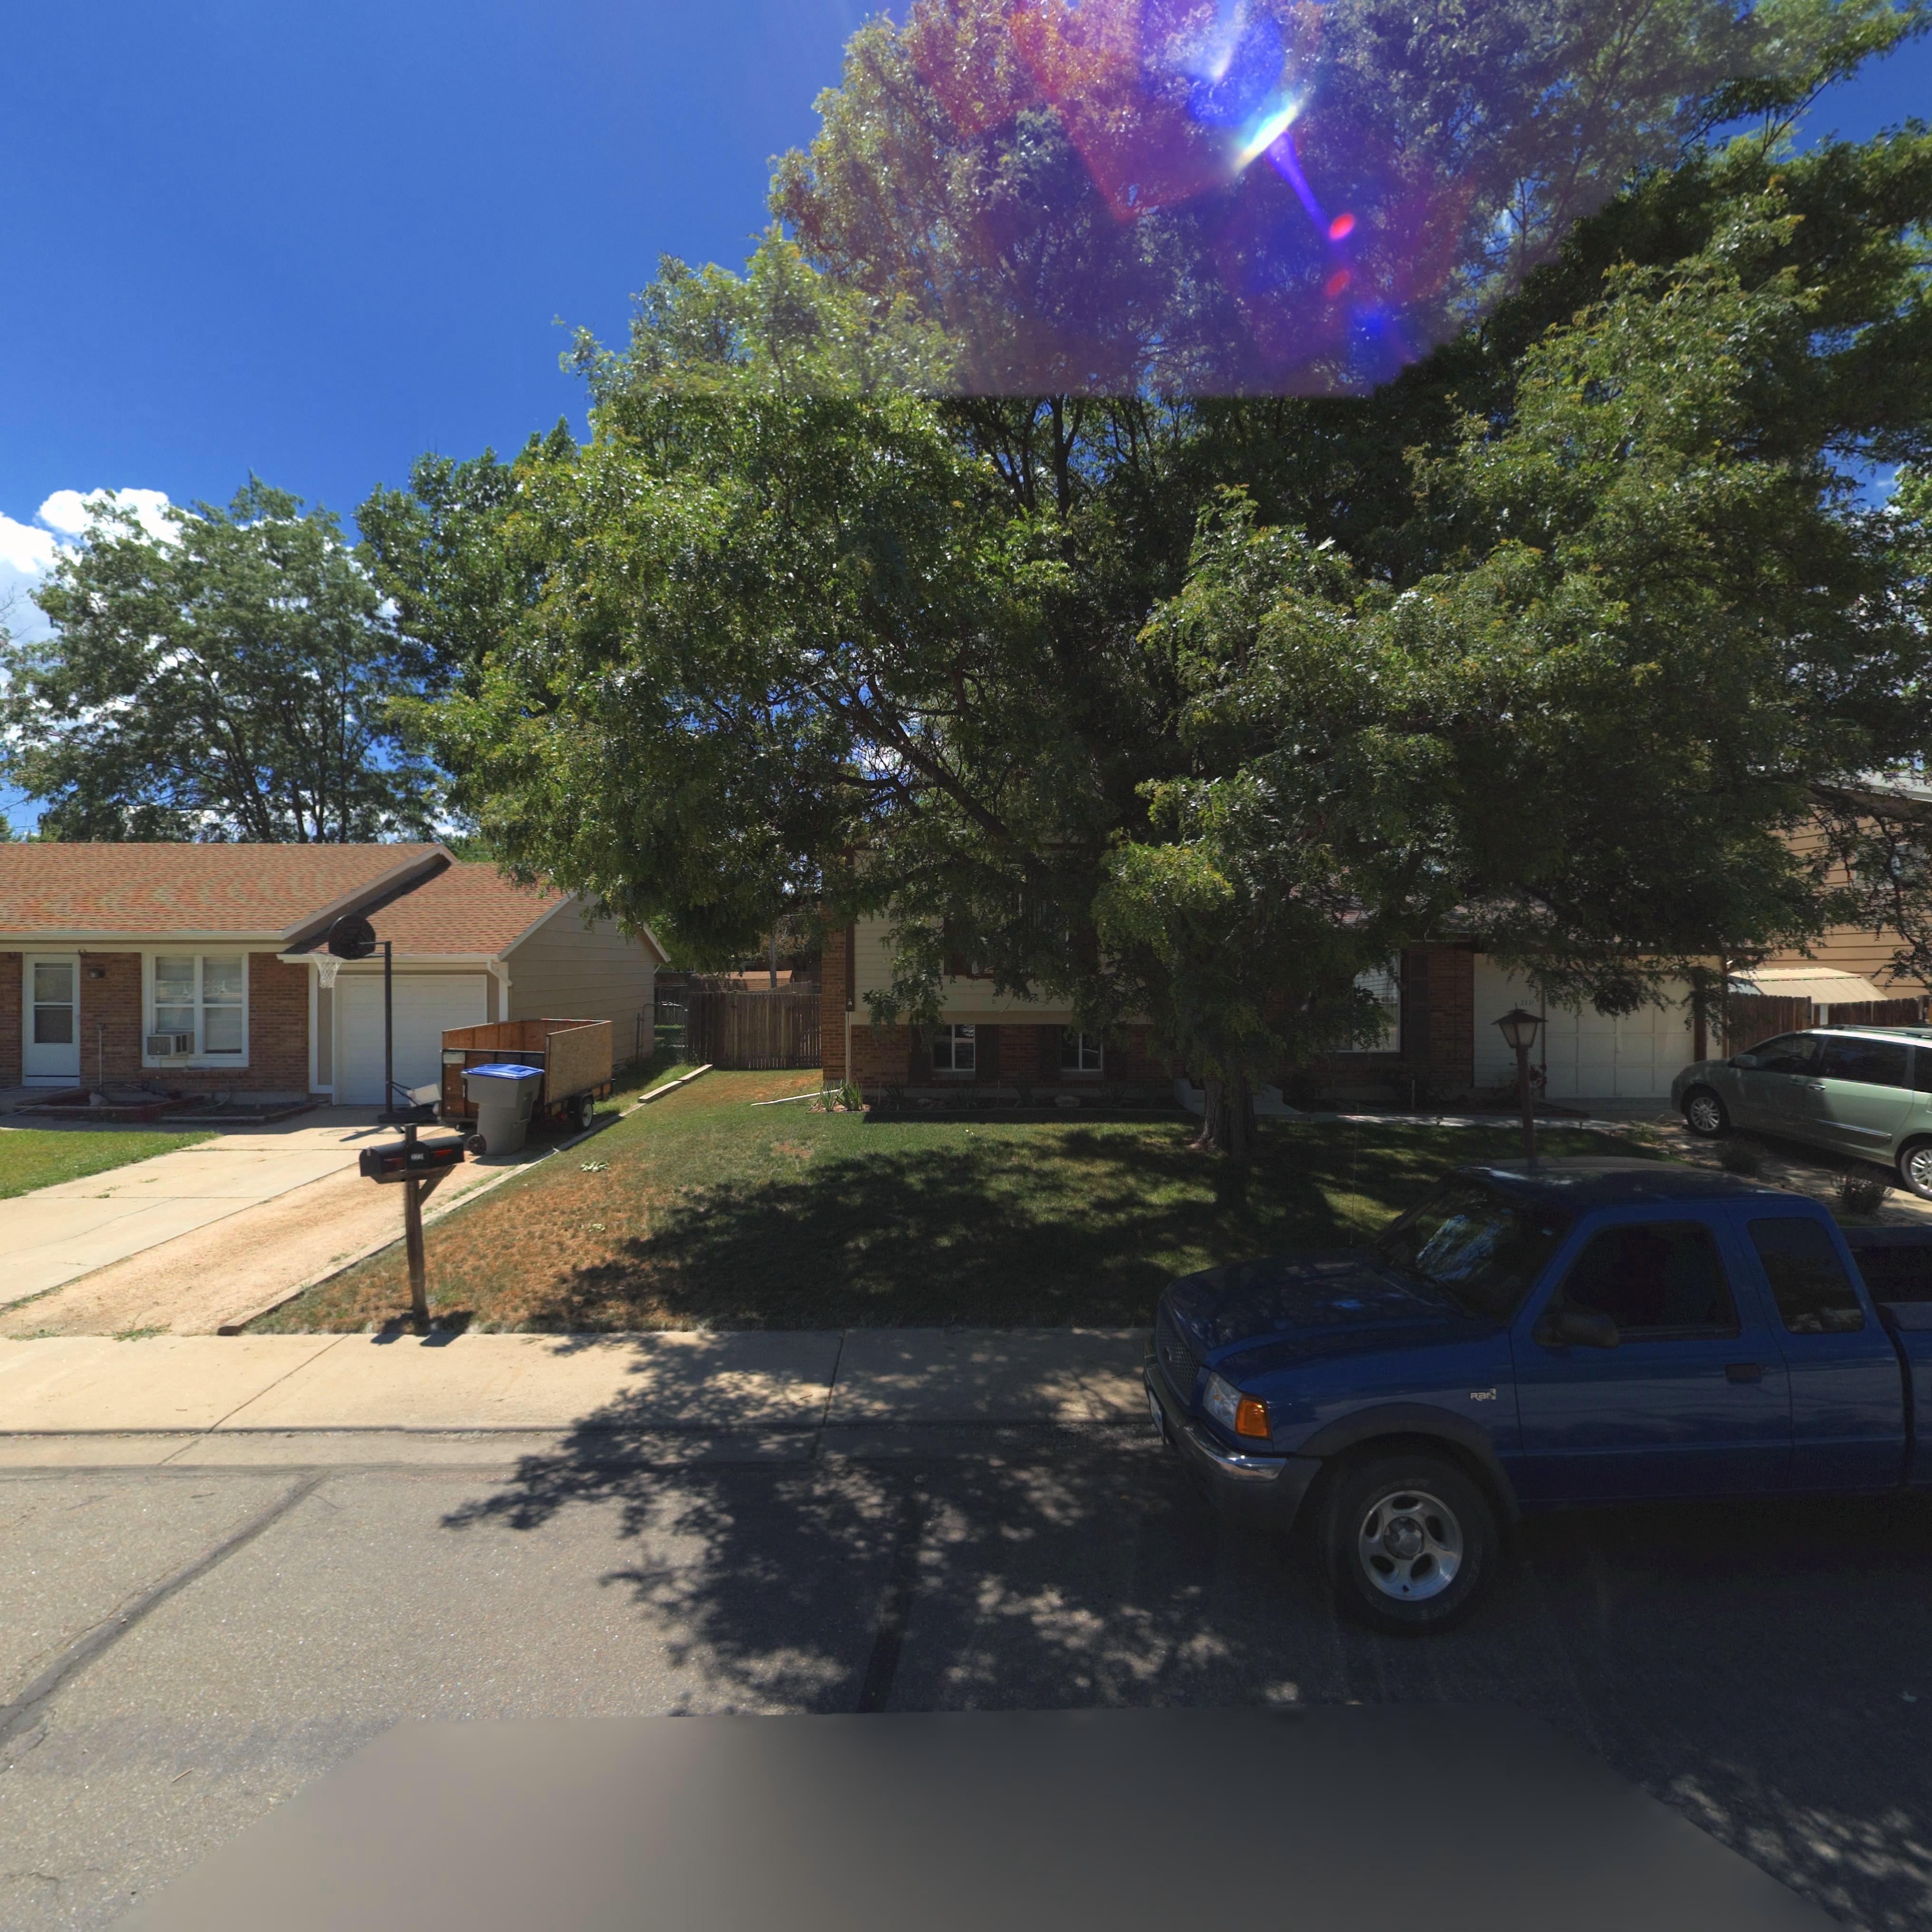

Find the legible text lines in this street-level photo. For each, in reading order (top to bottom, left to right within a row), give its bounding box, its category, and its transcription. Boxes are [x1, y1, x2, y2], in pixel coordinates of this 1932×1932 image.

[411, 1153, 425, 1160] StreetNumber: 223*